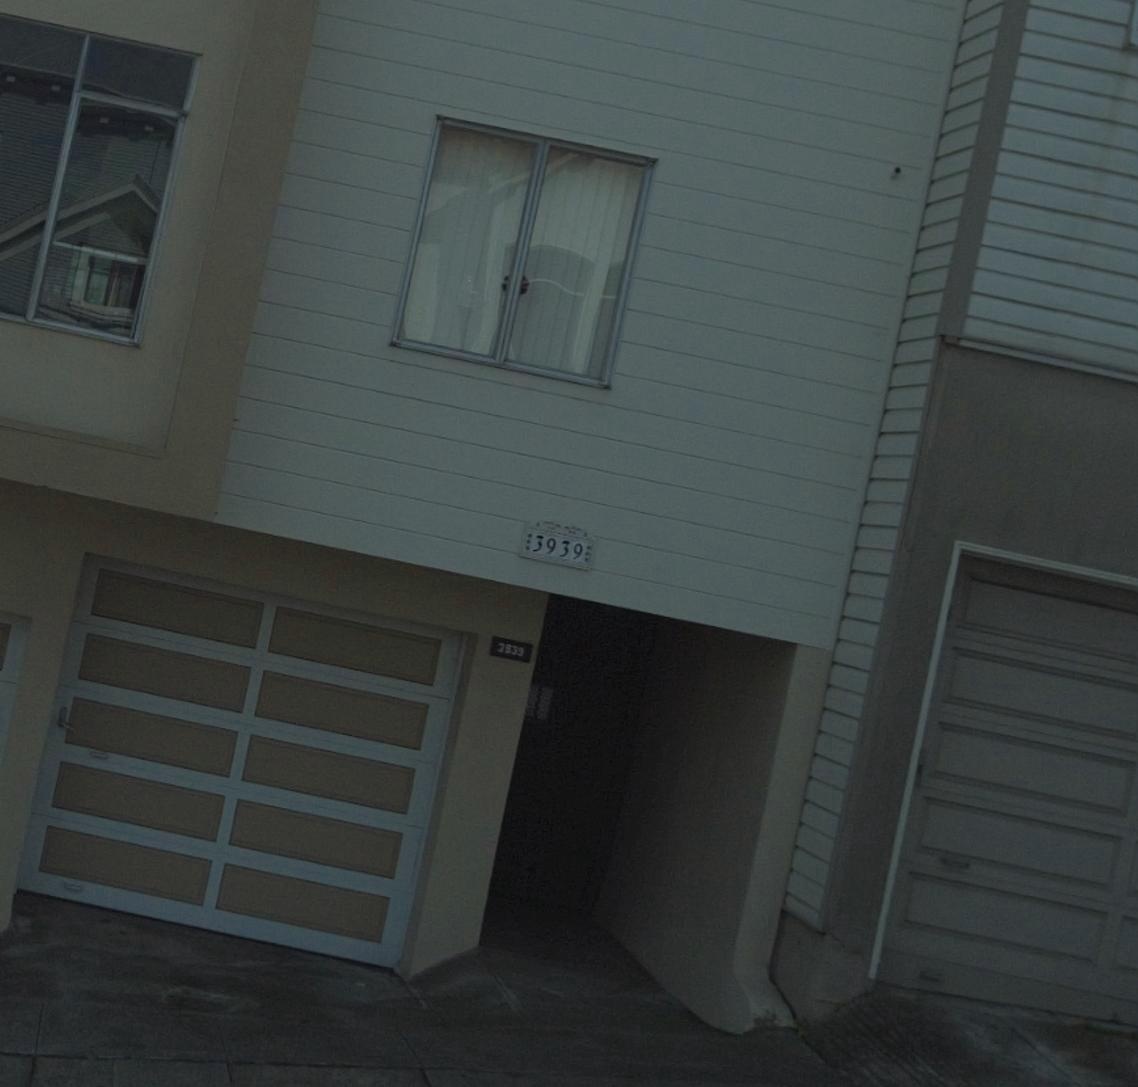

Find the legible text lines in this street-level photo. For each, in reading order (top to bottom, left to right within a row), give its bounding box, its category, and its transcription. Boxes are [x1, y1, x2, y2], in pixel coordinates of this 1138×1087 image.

[532, 533, 585, 562] StreetNumber: 3939
[496, 642, 526, 657] StreetNumber: 3939